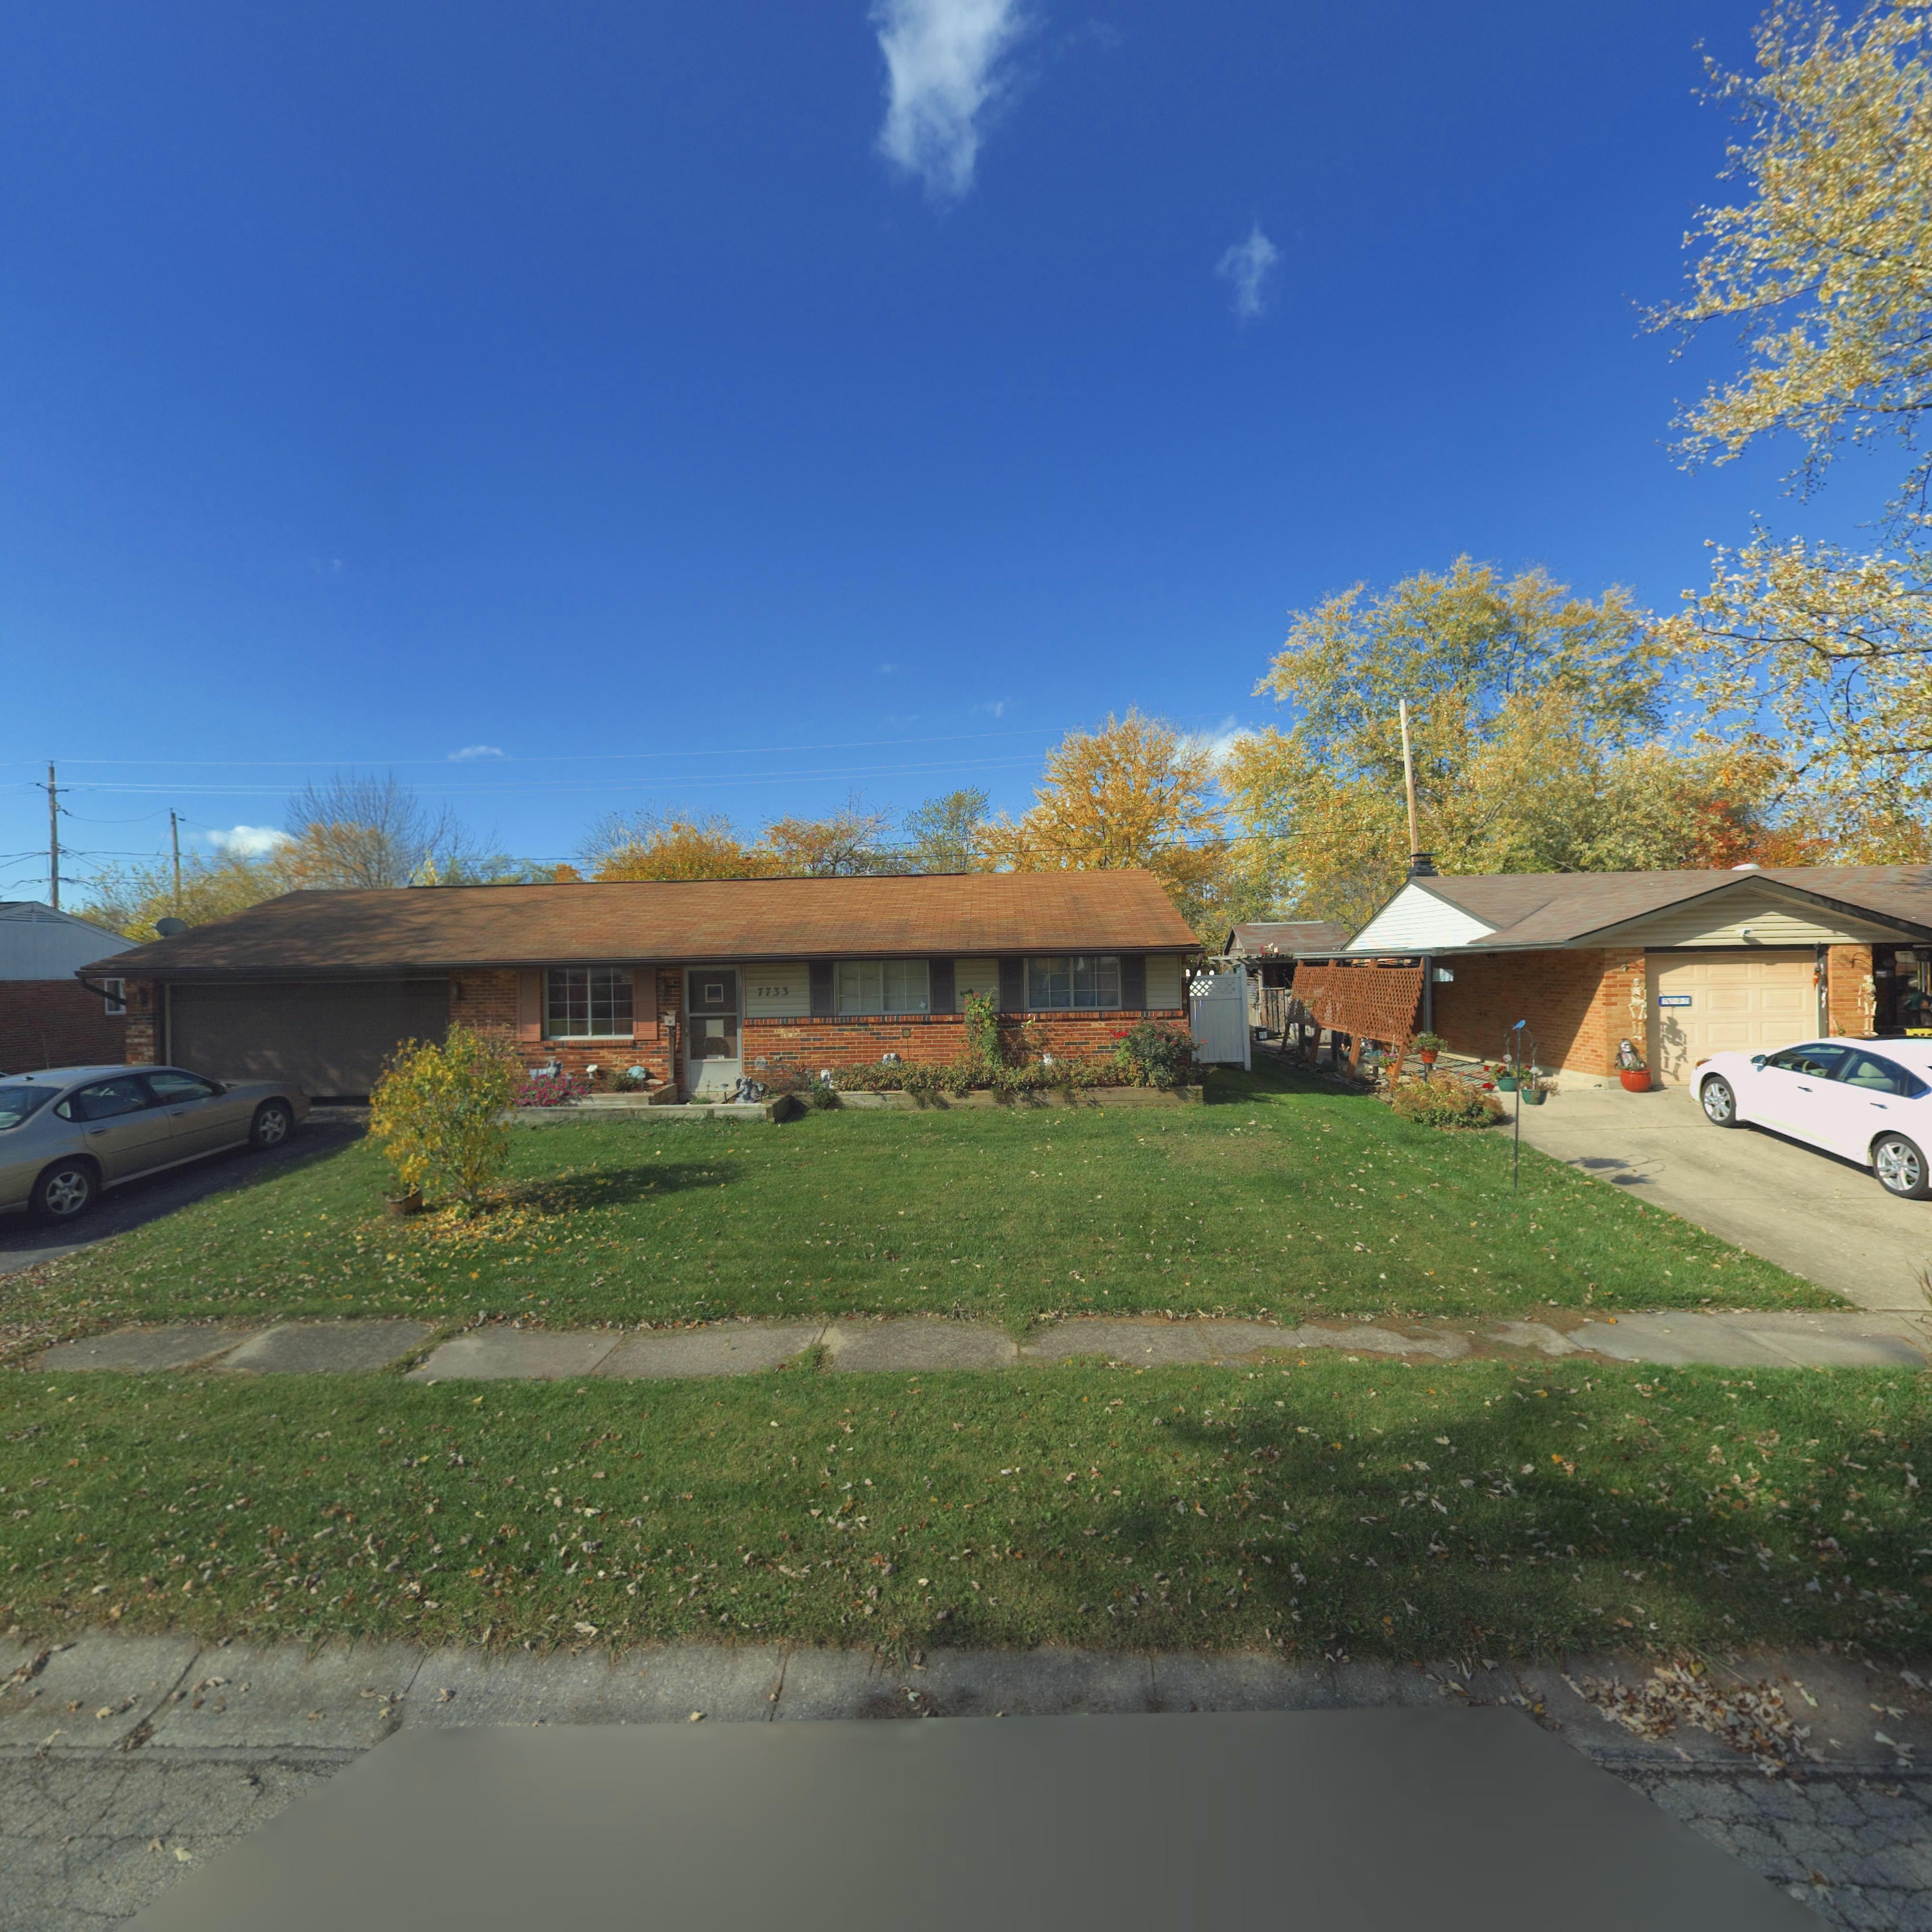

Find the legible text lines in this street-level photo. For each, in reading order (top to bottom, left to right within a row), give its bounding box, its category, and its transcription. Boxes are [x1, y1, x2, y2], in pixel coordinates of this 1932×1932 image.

[756, 985, 790, 998] StreetNumber: 7733